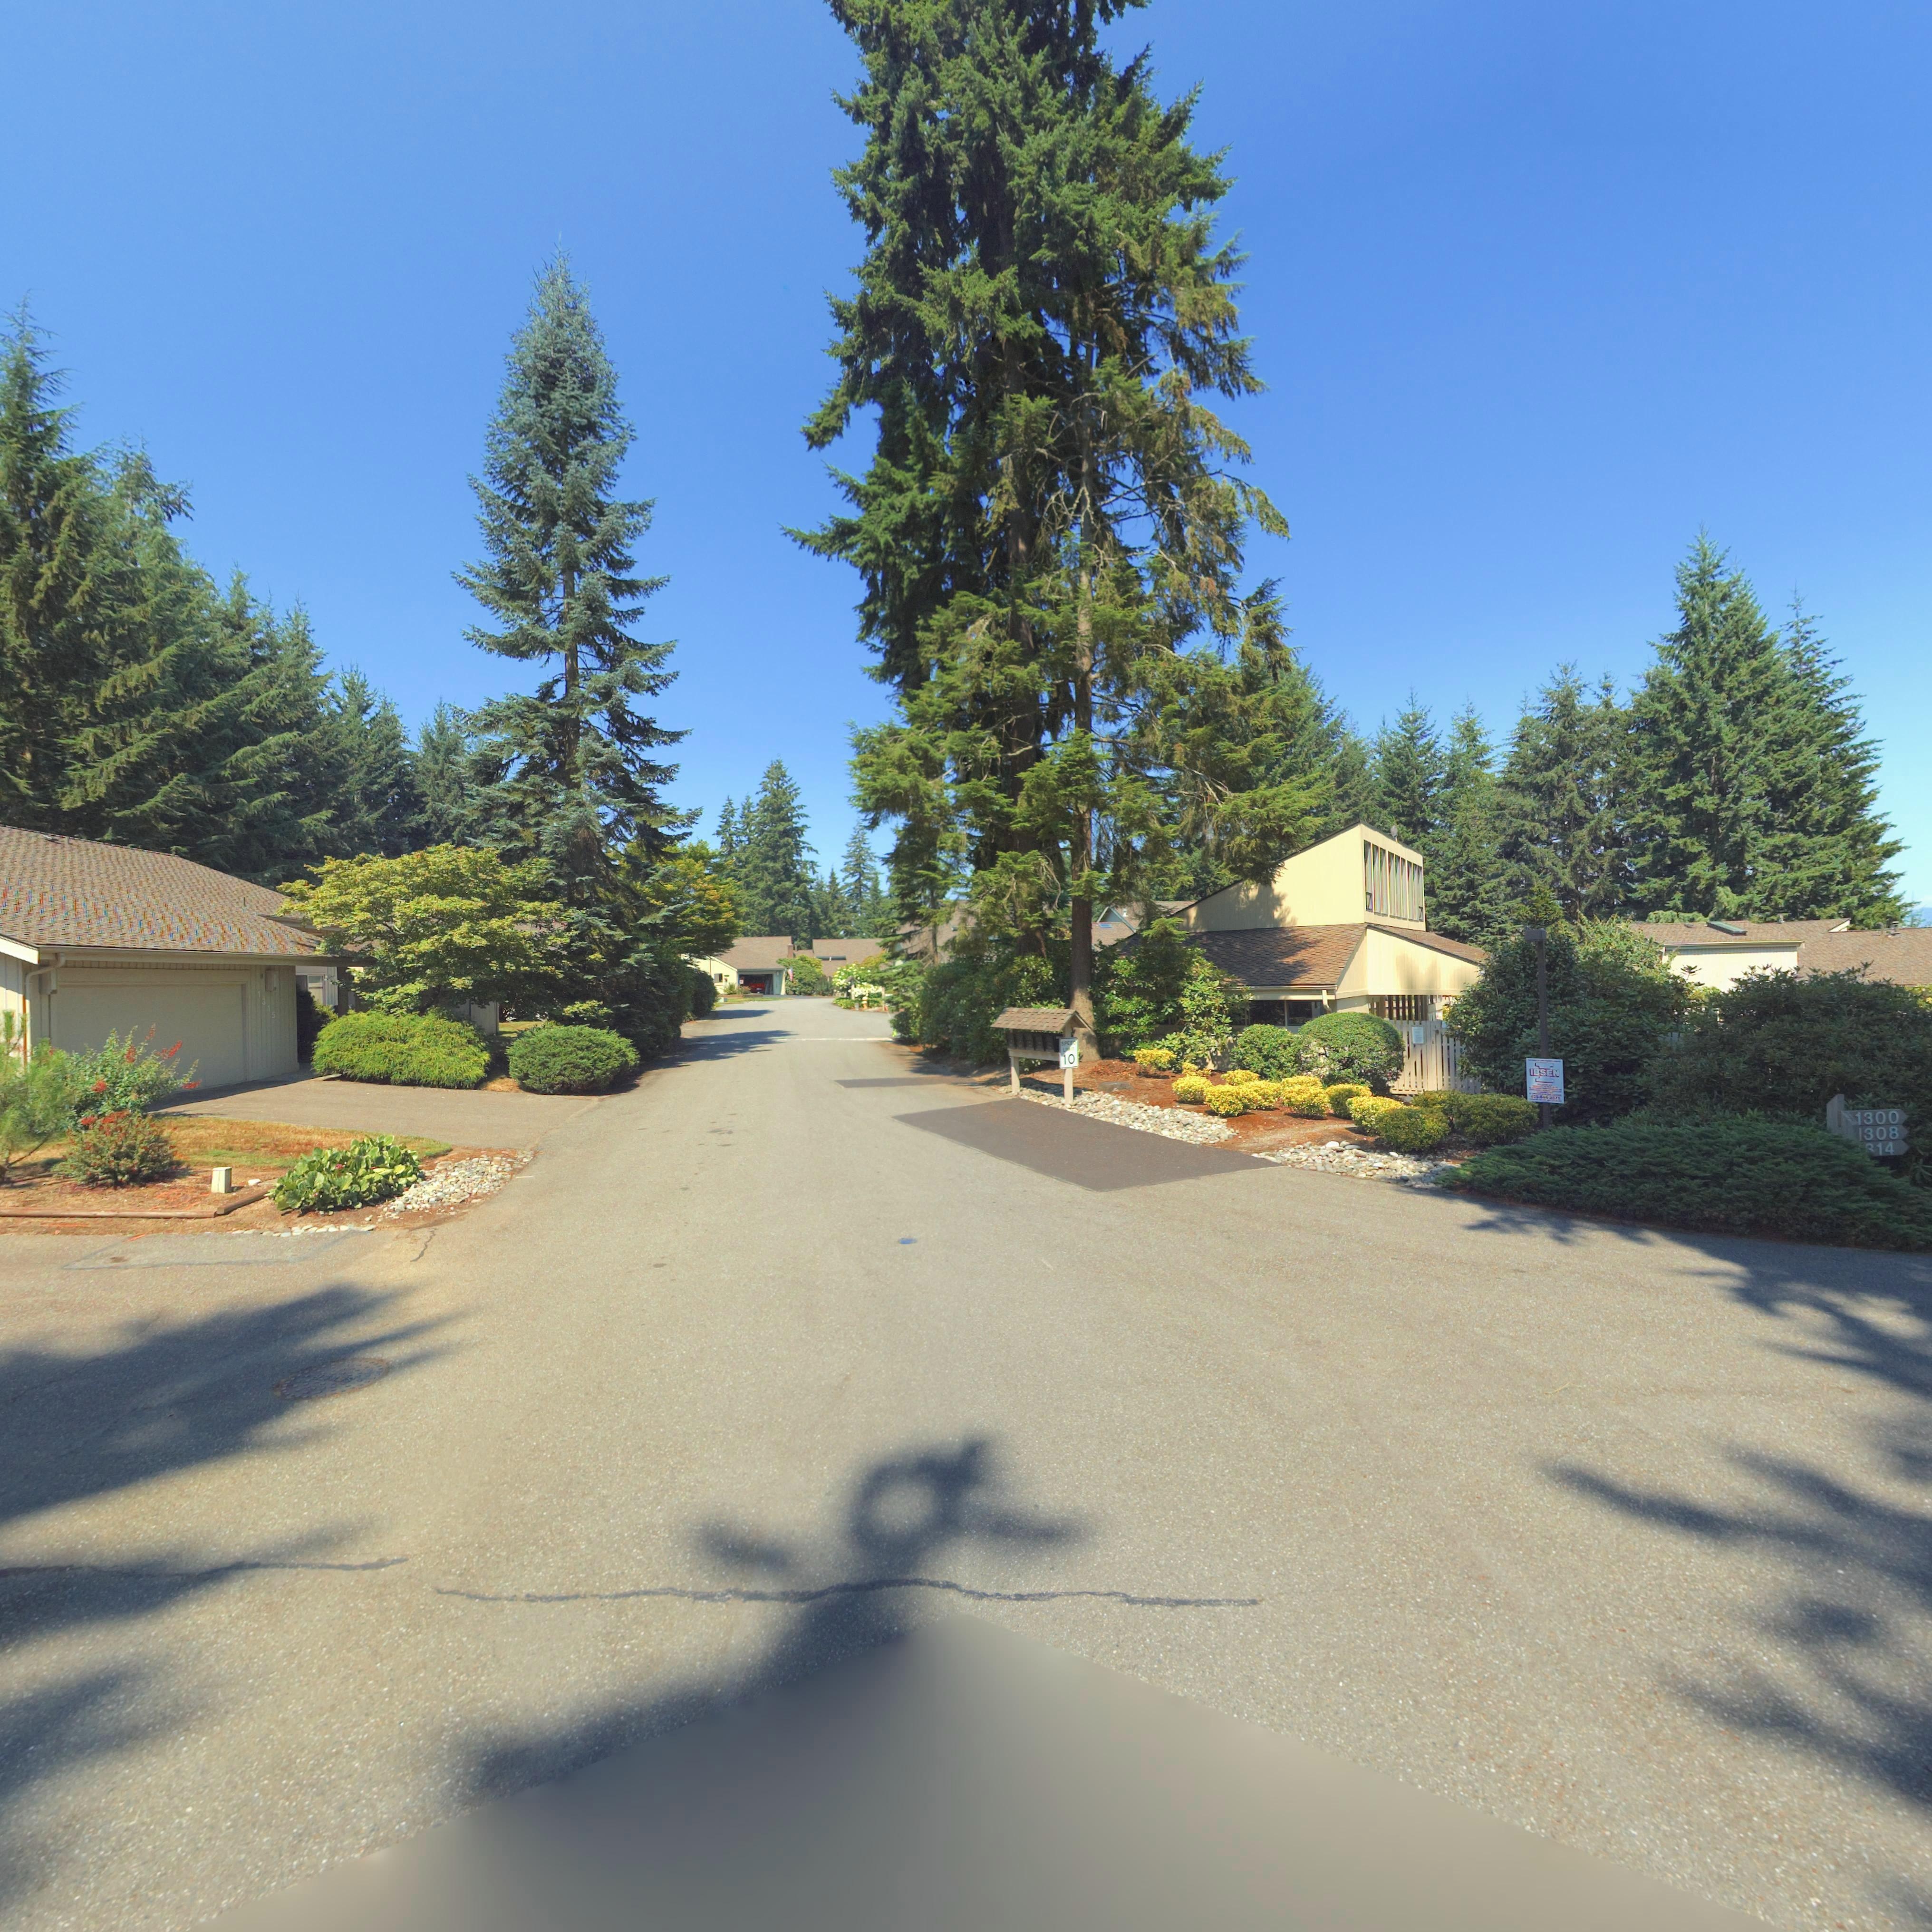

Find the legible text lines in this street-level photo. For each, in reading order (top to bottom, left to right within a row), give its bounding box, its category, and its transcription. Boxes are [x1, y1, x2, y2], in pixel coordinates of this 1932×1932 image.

[1528, 1067, 1559, 1077] BusinessName: IBSEN
[1856, 1110, 1900, 1125] StreetNumber: 1300
[1857, 1125, 1899, 1140] StreetNumber: 1308
[1860, 1141, 1895, 1156] StreetNumber: *314